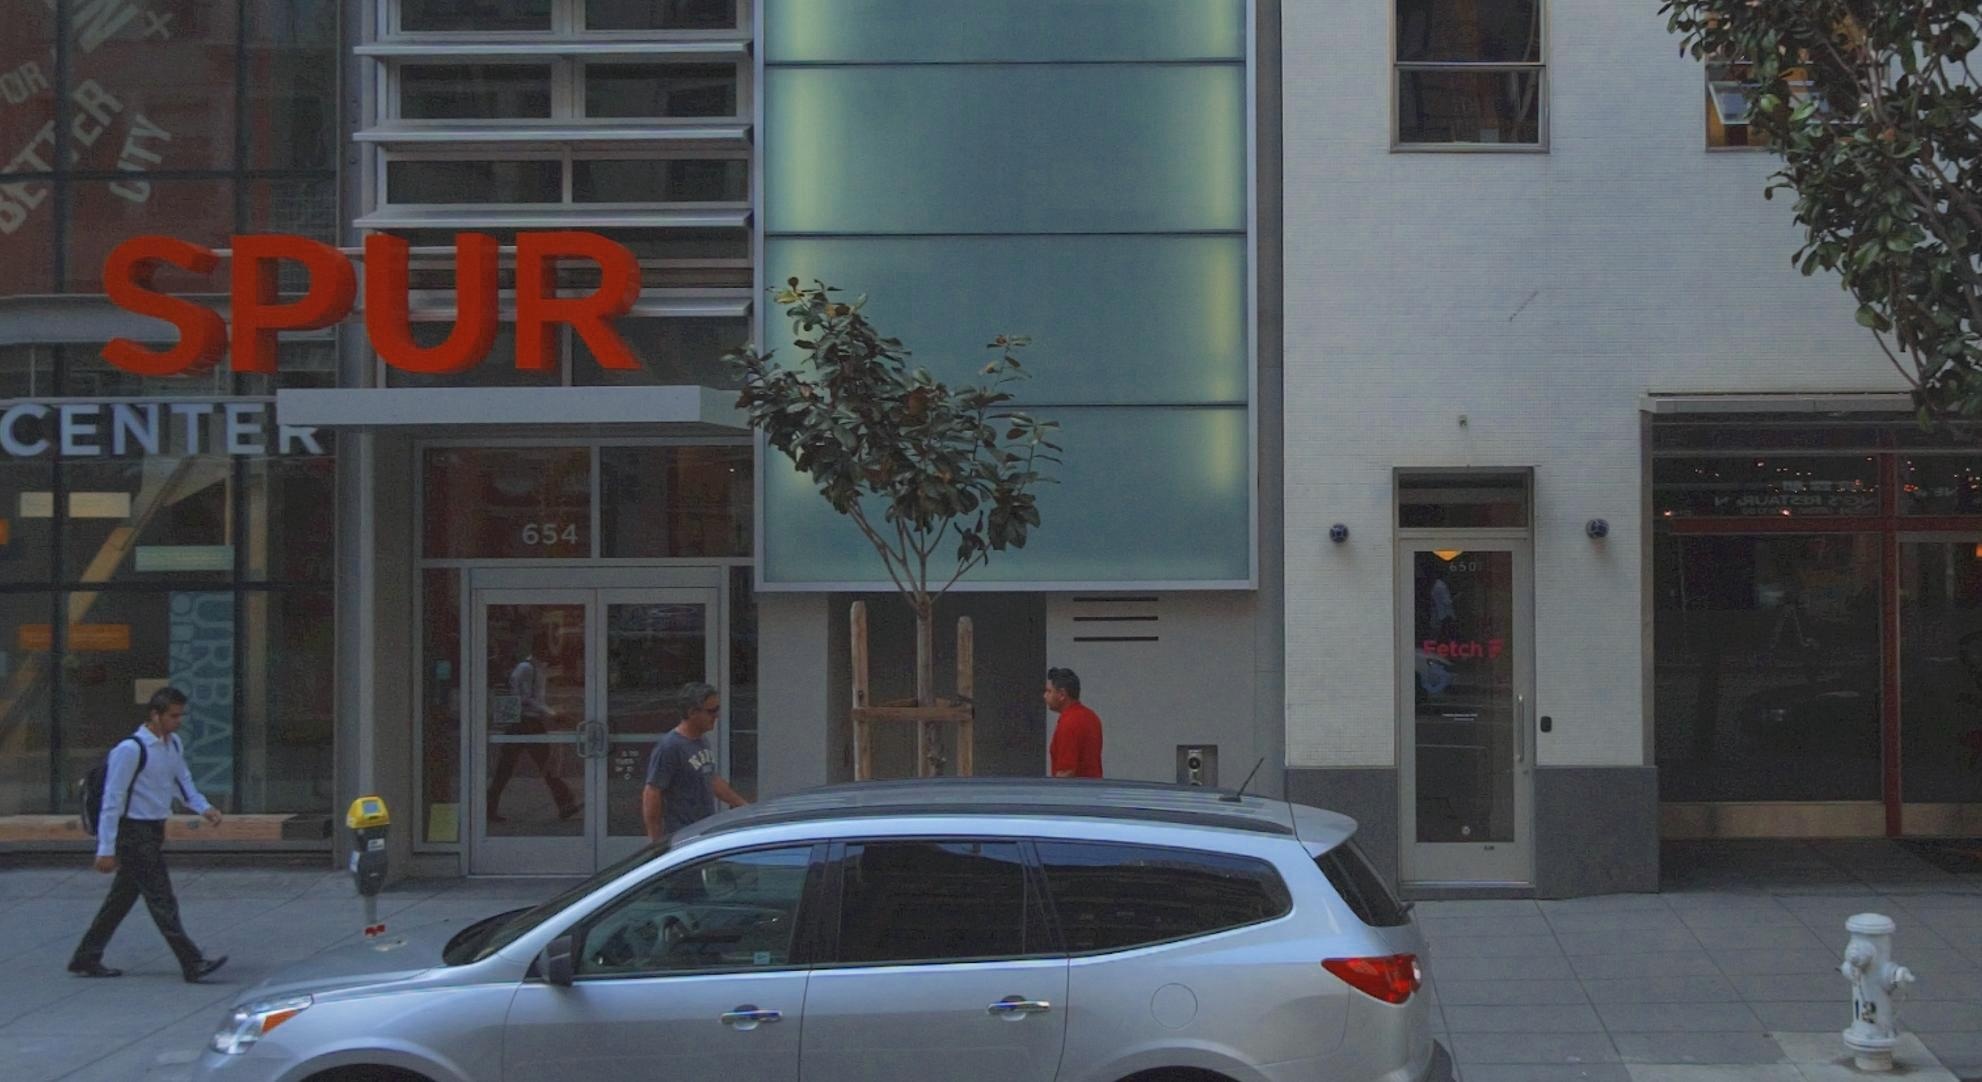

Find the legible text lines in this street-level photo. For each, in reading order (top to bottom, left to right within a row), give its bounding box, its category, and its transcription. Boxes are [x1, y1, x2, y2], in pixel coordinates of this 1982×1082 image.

[95, 225, 643, 377] None: SPUR
[1, 398, 267, 458] None: CENTE
[520, 519, 580, 547] StreetNumber: 654
[1447, 559, 1477, 574] StreetNumber: 650
[168, 590, 191, 680] BusinessName: OLFA
[1421, 636, 1484, 658] BusinessName: Fetch
[190, 589, 235, 793] BusinessName: URBAN
[1853, 997, 1876, 1024] None: 12